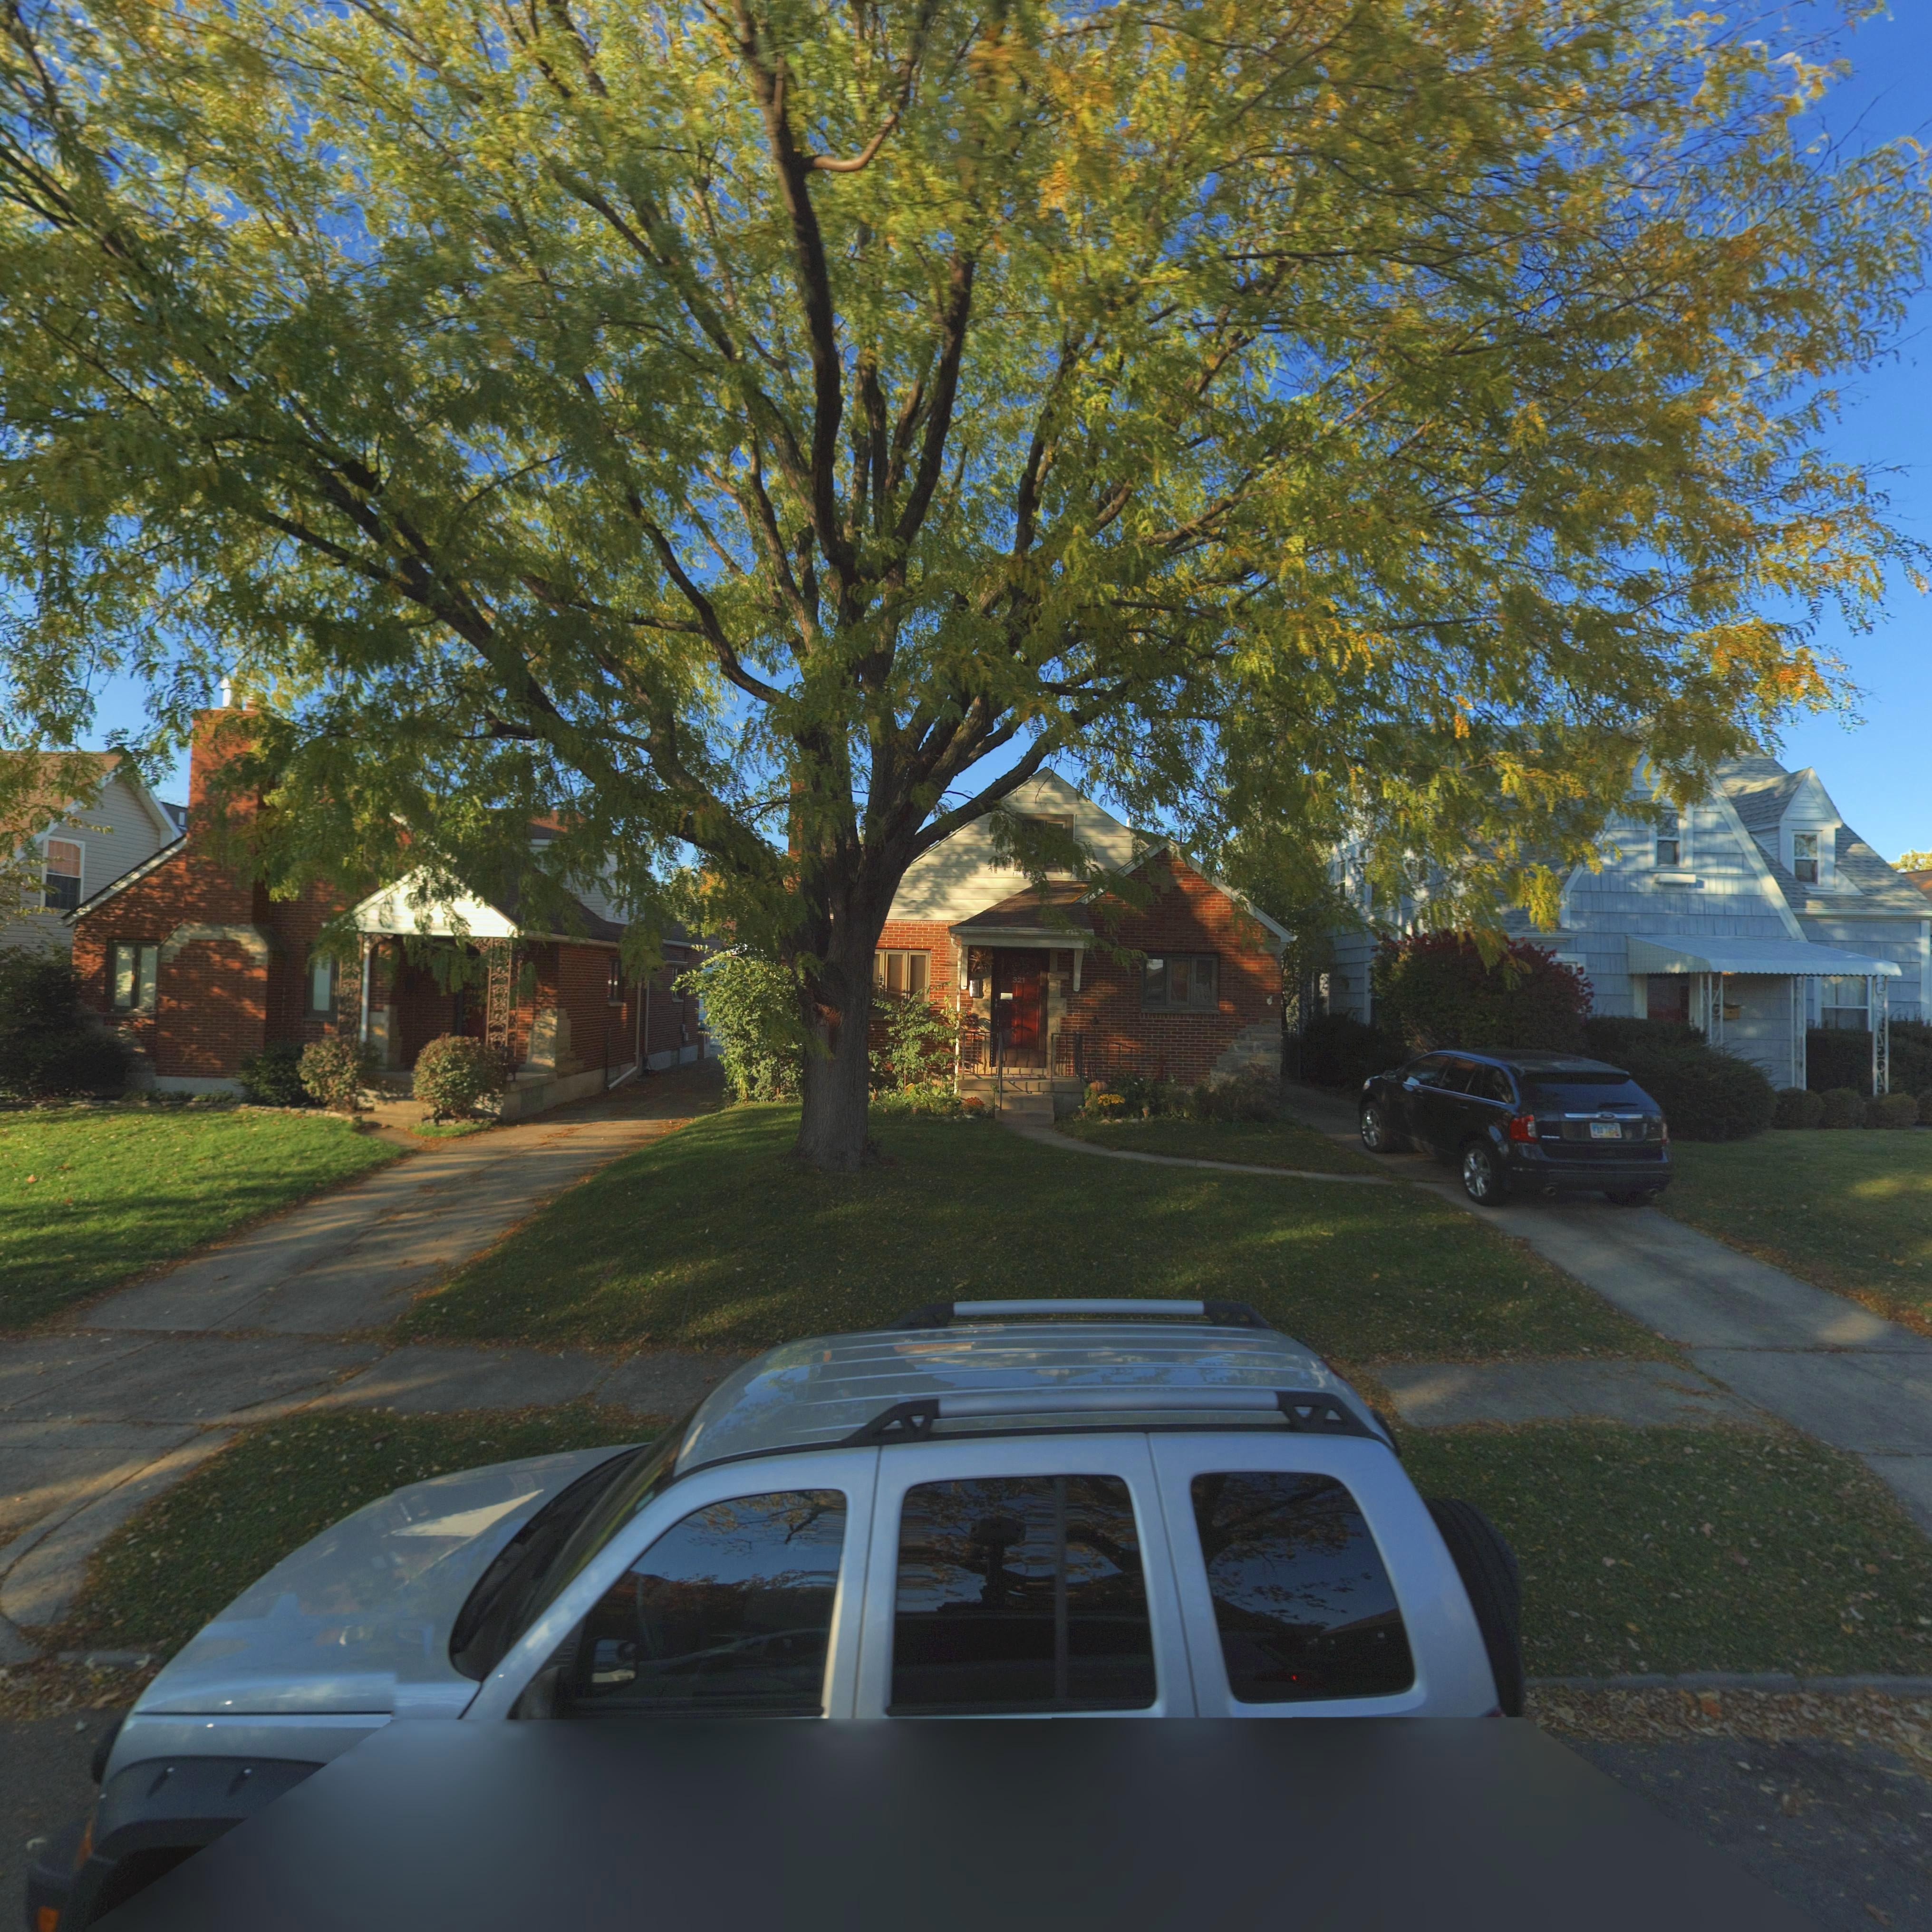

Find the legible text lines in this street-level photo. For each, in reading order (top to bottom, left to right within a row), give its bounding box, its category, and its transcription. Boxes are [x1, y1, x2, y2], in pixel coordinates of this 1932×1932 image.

[1012, 976, 1025, 983] StreetNumber: 321
[1714, 983, 1734, 991] StreetNumber: **5